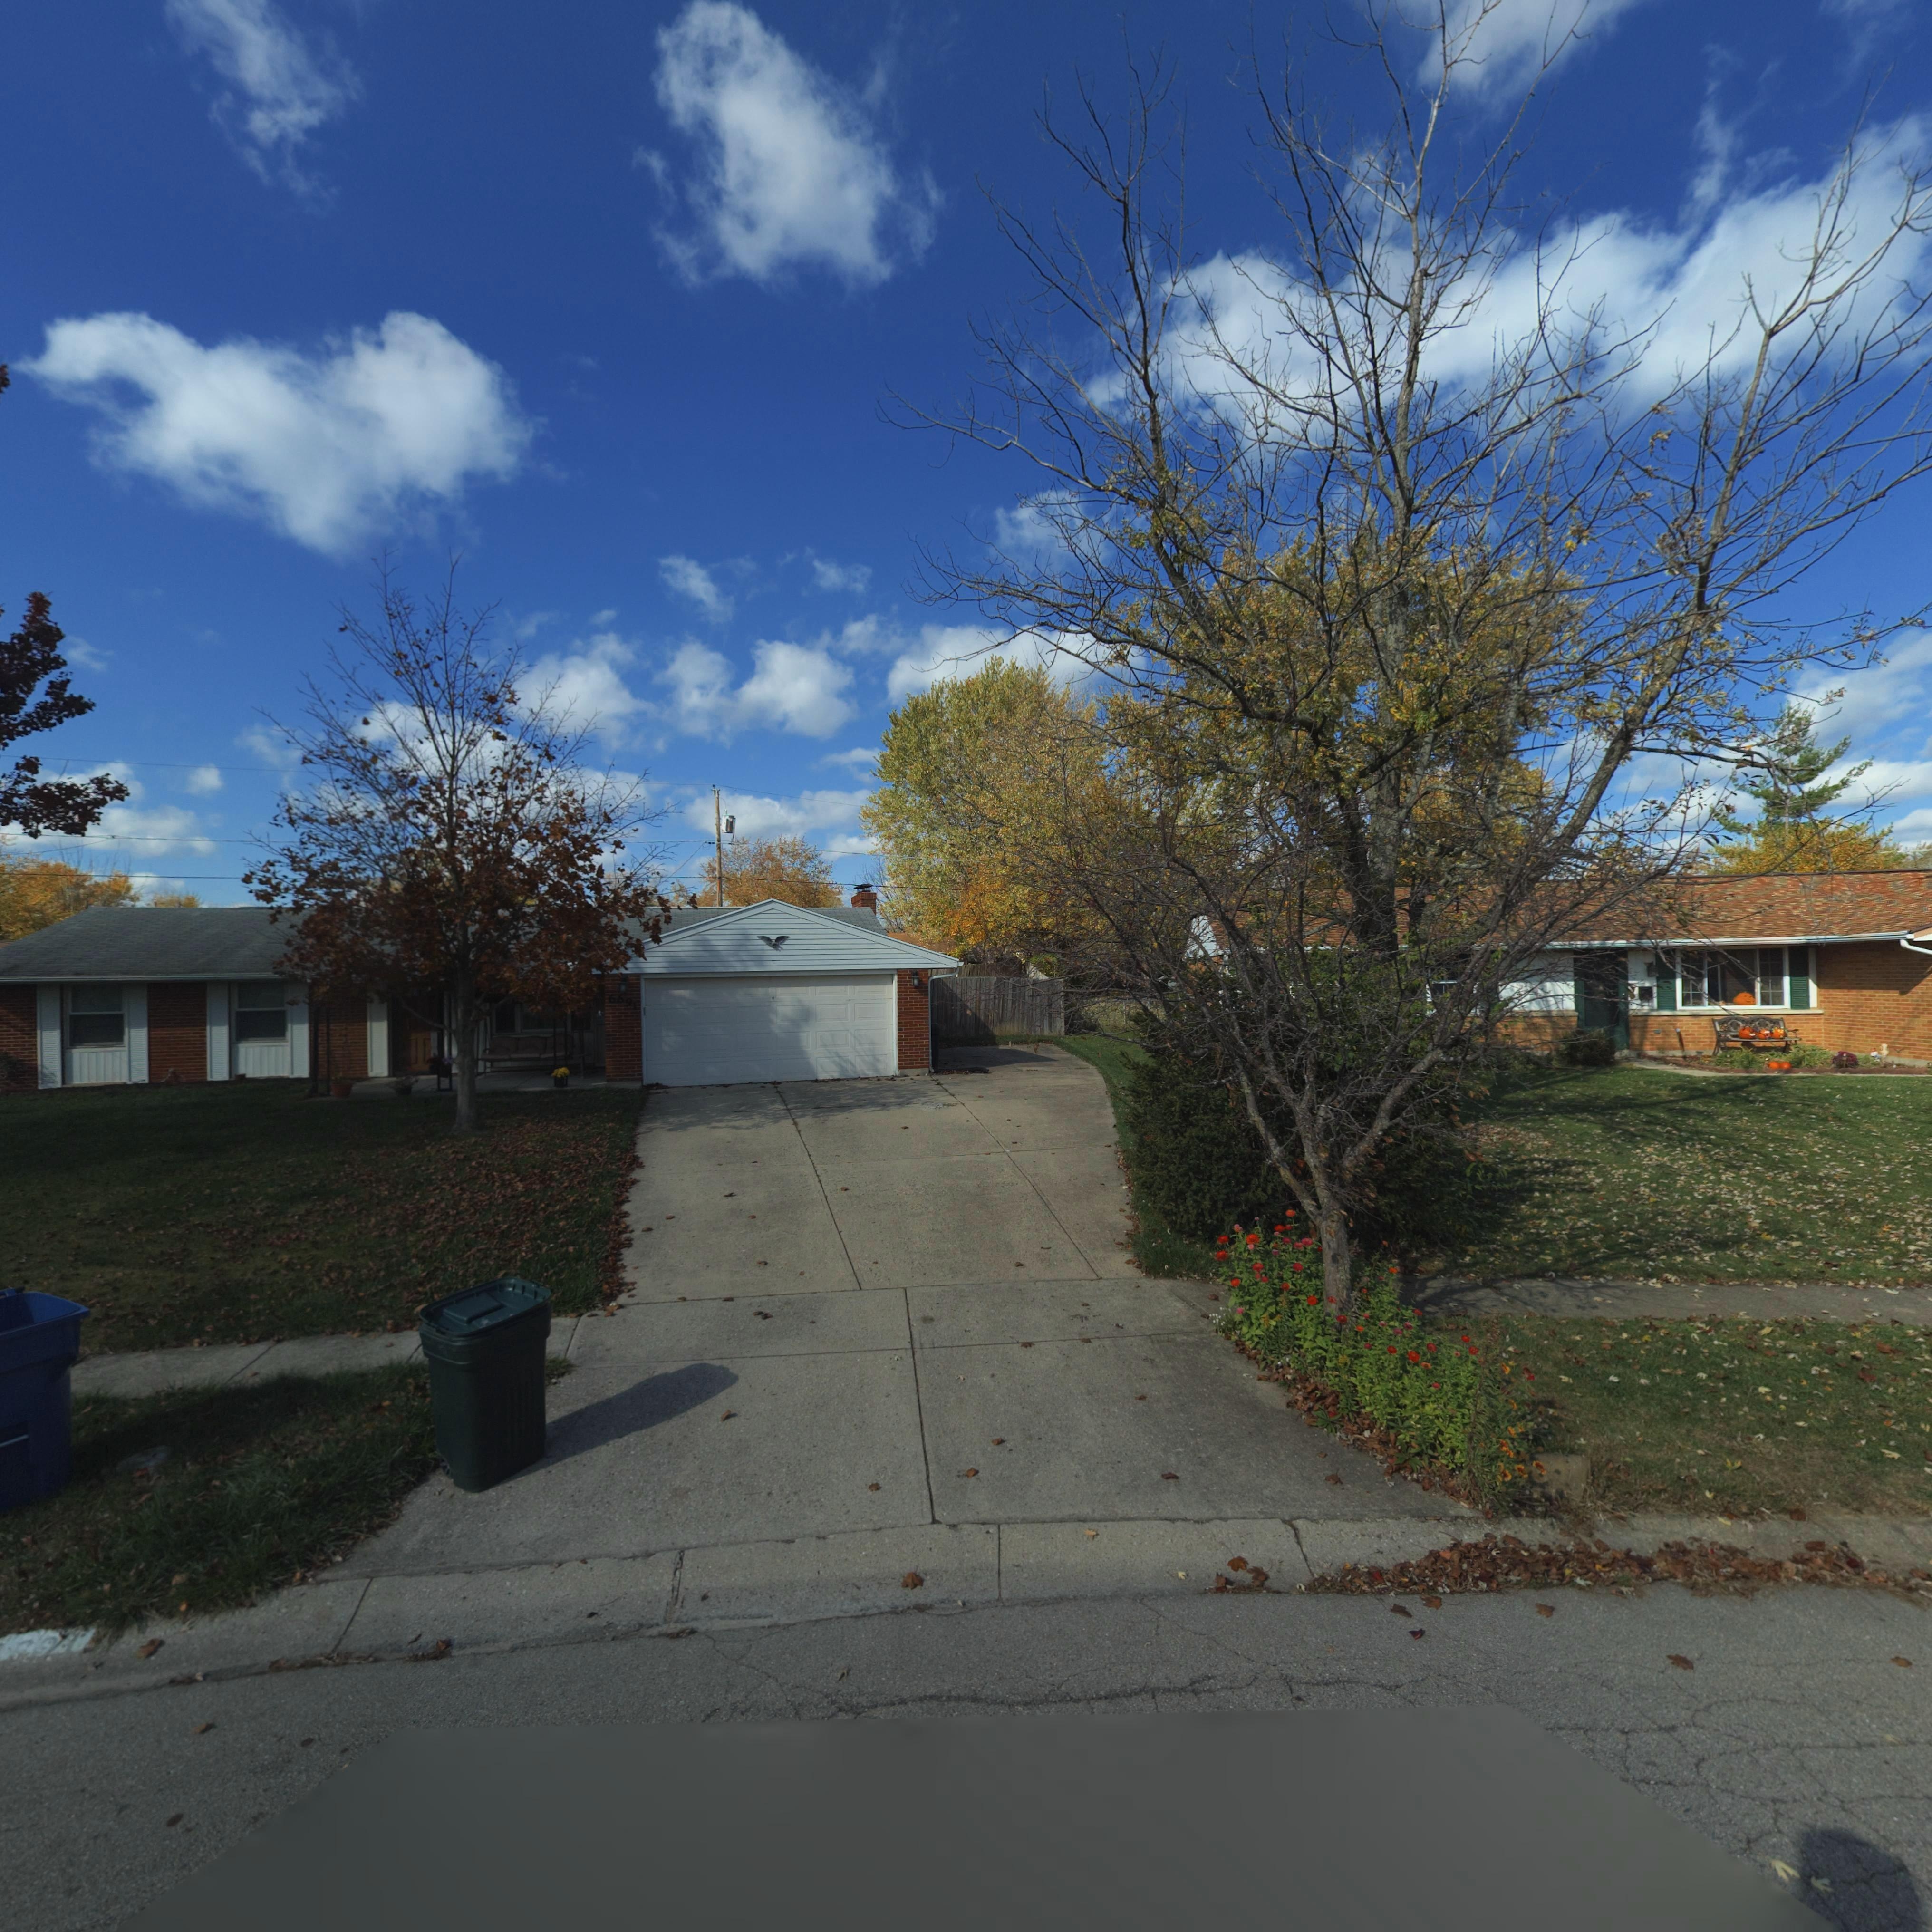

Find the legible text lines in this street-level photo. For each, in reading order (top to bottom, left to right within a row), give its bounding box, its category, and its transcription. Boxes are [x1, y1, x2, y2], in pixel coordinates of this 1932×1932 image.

[608, 993, 637, 1011] StreetNumber: 6691
[29, 1629, 85, 1661] StreetNumber: 01